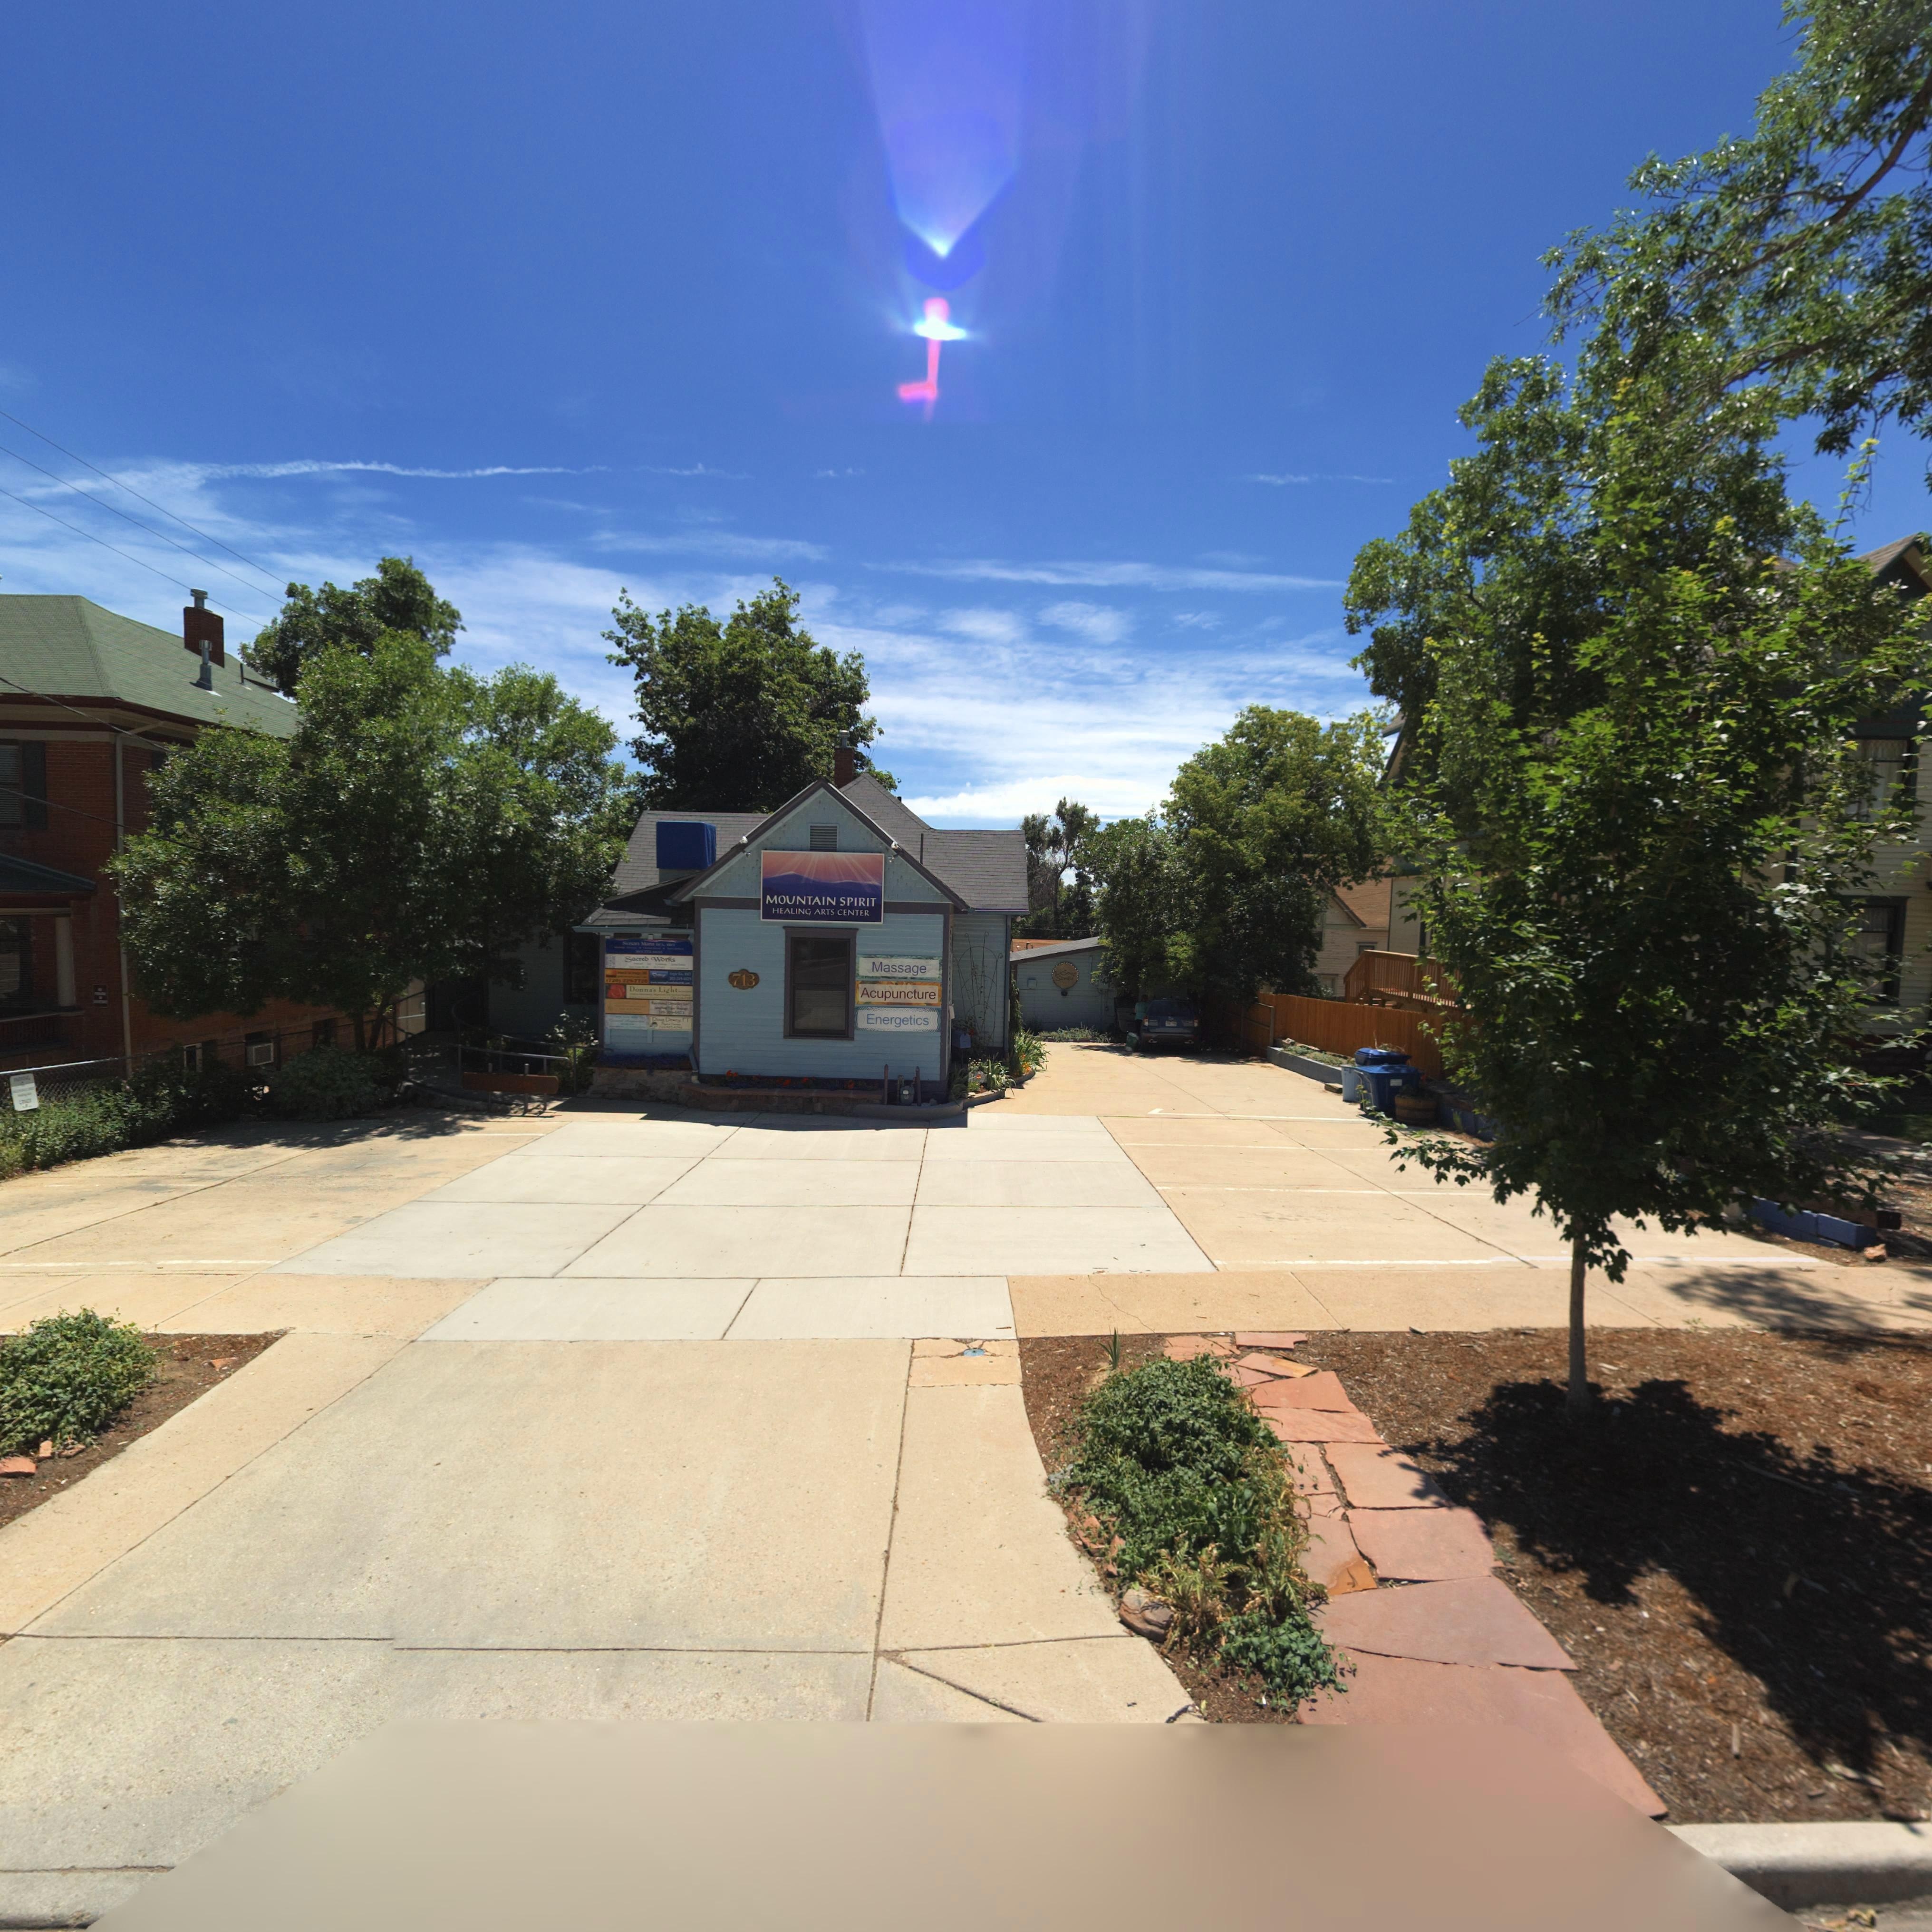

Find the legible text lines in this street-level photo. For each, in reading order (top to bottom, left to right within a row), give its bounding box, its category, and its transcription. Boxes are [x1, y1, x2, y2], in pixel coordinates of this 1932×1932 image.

[765, 894, 877, 907] BusinessName: MOUNTAIN SPIRIT
[772, 907, 869, 917] BusinessName: HEALING ARTS CENTER
[622, 941, 655, 946] BusinessName: Susan *****
[625, 956, 675, 962] BusinessName: Sacred Works
[732, 974, 754, 987] StreetNumber: 713
[629, 985, 677, 993] BusinessName: Donna's Light